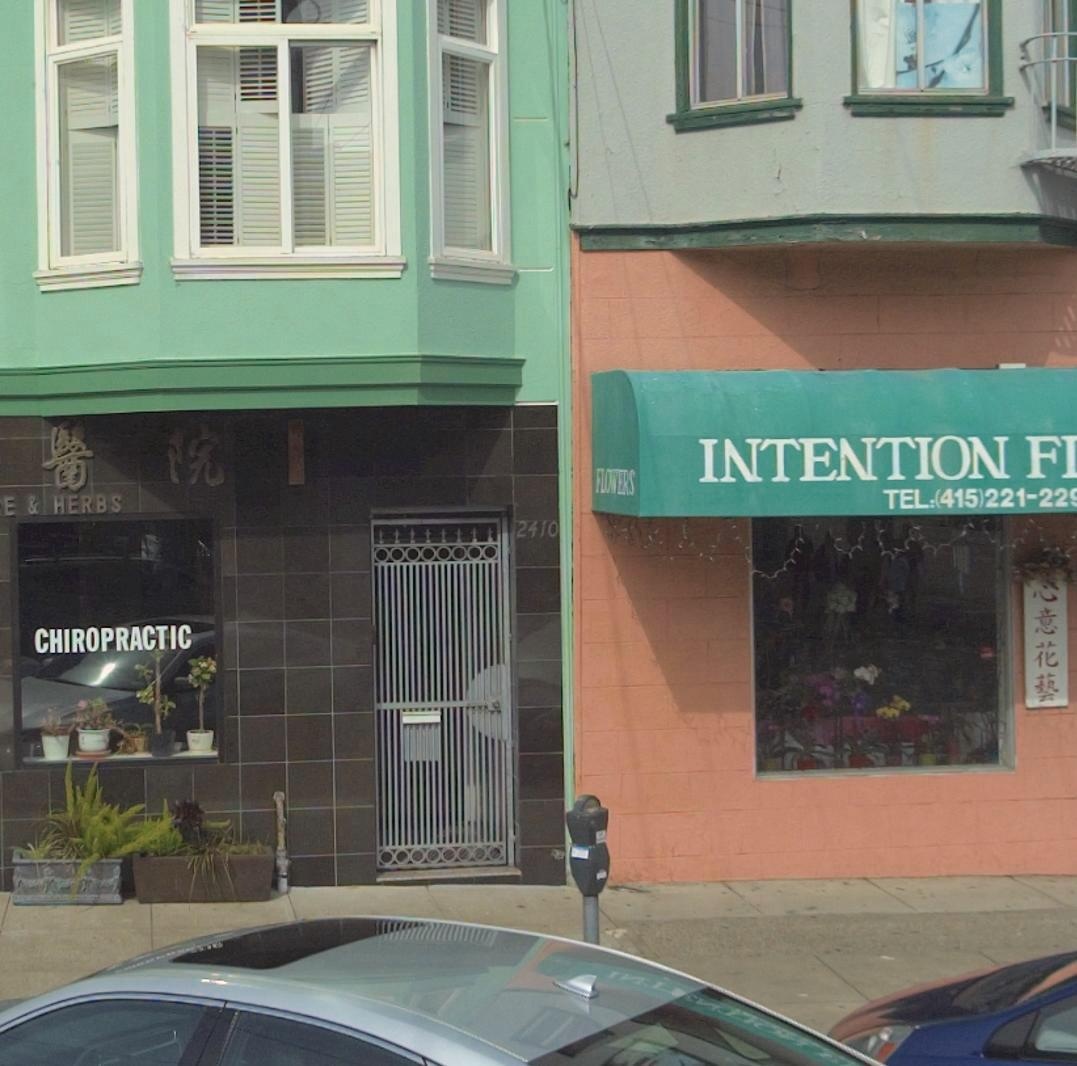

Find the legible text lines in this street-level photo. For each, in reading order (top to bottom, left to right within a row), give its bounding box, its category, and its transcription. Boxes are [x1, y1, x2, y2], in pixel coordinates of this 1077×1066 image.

[696, 433, 1077, 485] BusinessName: INTENTION FI
[593, 464, 638, 498] None: FLO***S
[3, 493, 125, 519] None: E & HERBS
[880, 485, 1072, 512] None: TEL:(415)221-22
[514, 518, 560, 540] StreetNumber: 2410
[31, 622, 194, 656] None: CHIROPRACTIC